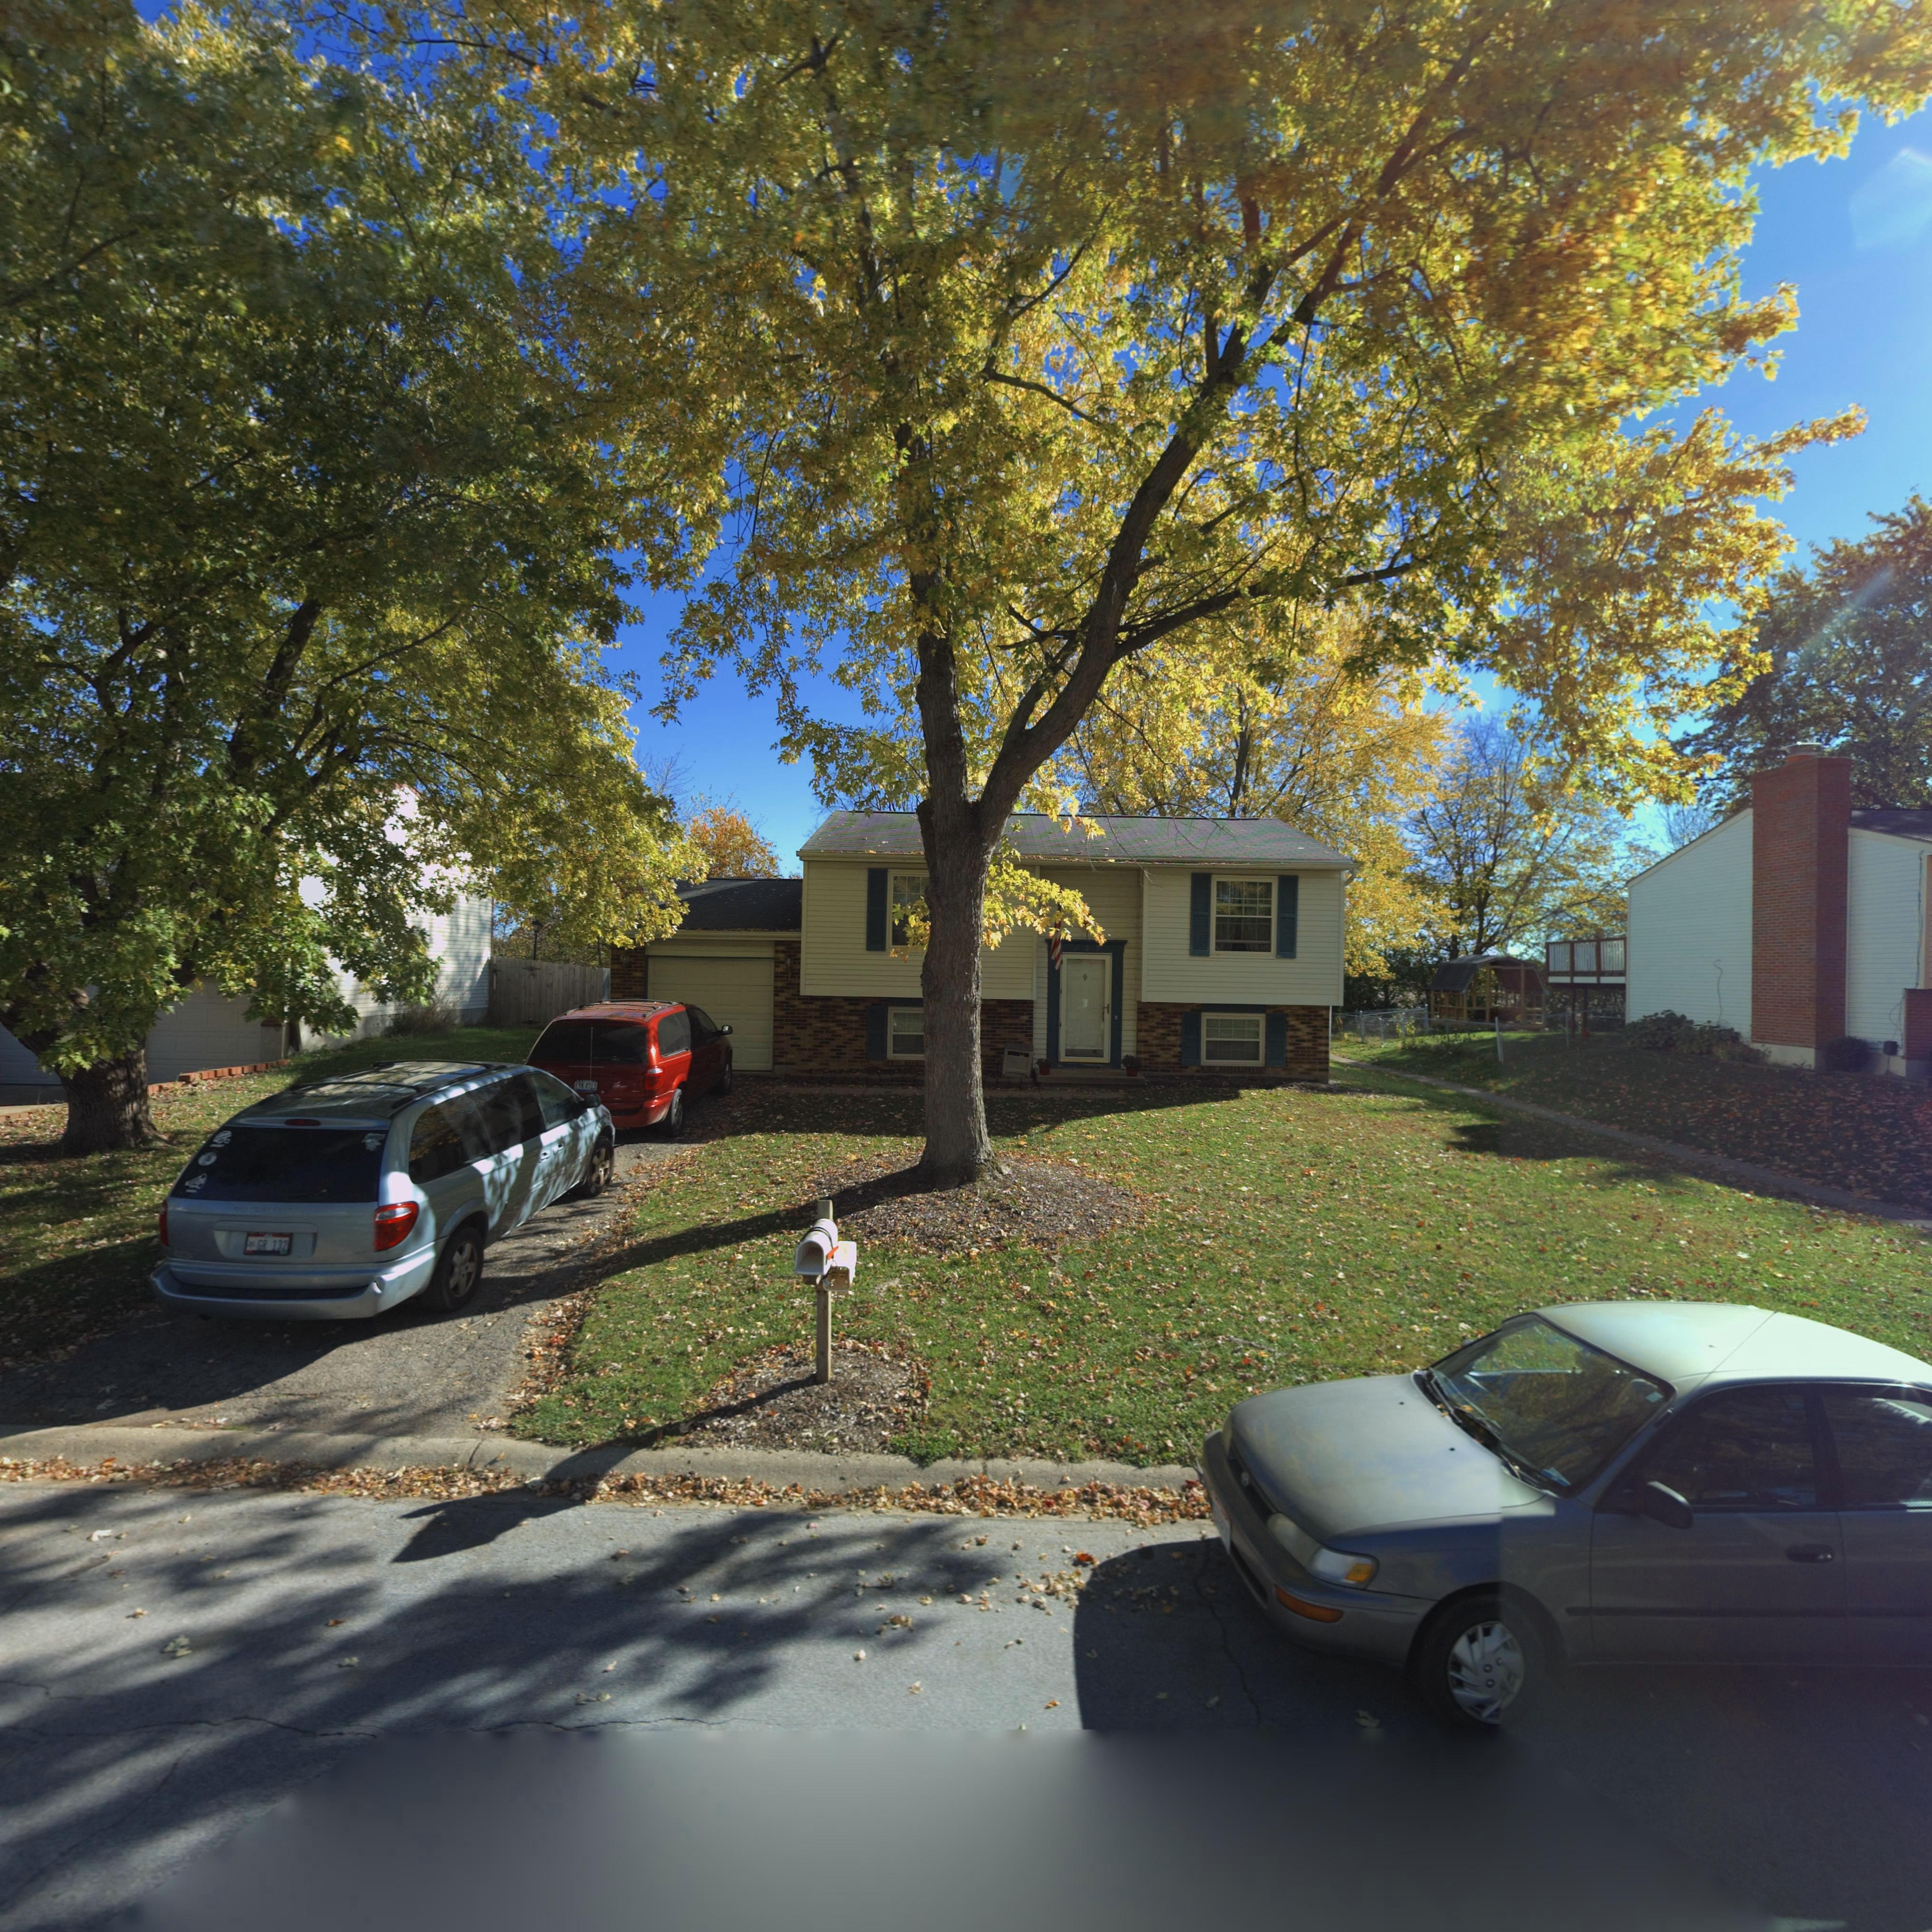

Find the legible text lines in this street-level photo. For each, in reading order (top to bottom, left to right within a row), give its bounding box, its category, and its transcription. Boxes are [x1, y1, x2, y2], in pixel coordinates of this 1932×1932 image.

[1074, 944, 1101, 953] StreetNumber: 129